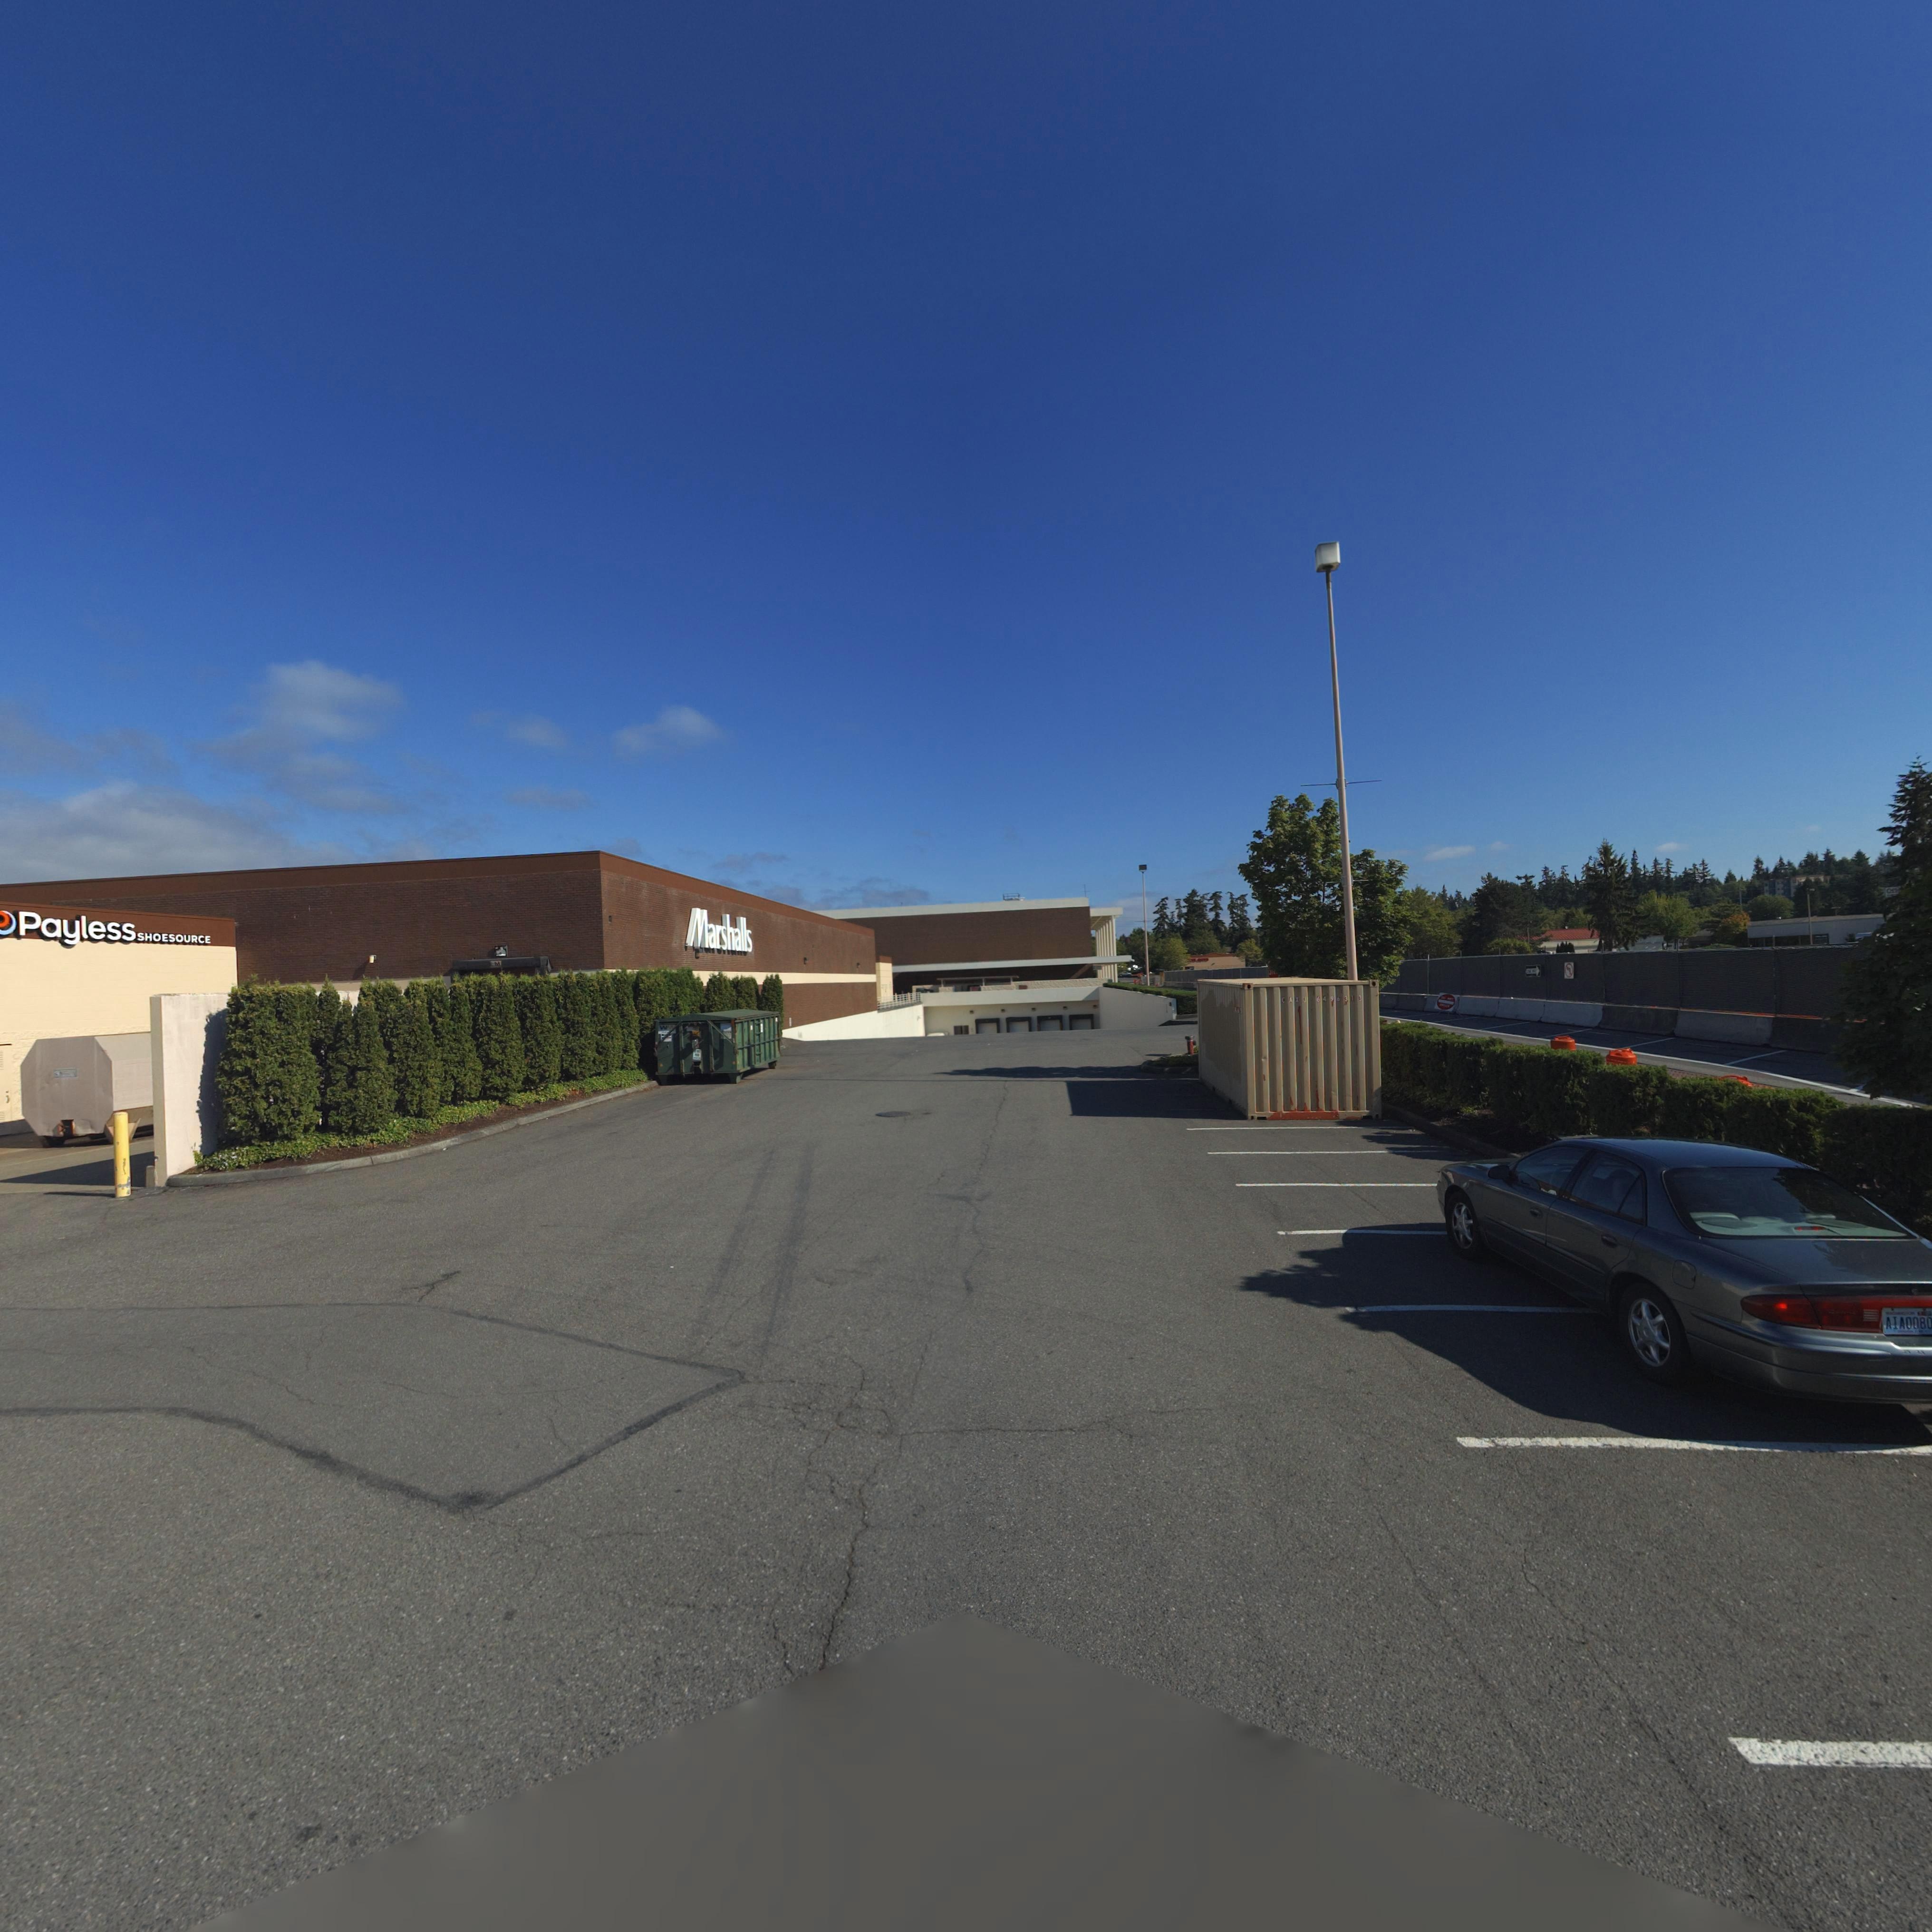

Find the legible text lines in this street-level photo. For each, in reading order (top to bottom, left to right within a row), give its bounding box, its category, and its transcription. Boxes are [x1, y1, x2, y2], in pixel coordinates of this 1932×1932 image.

[15, 909, 137, 946] BusinessName: PAYLESS
[137, 931, 211, 943] BusinessName: SHOESOURCE
[686, 906, 752, 952] BusinessName: Marshalls